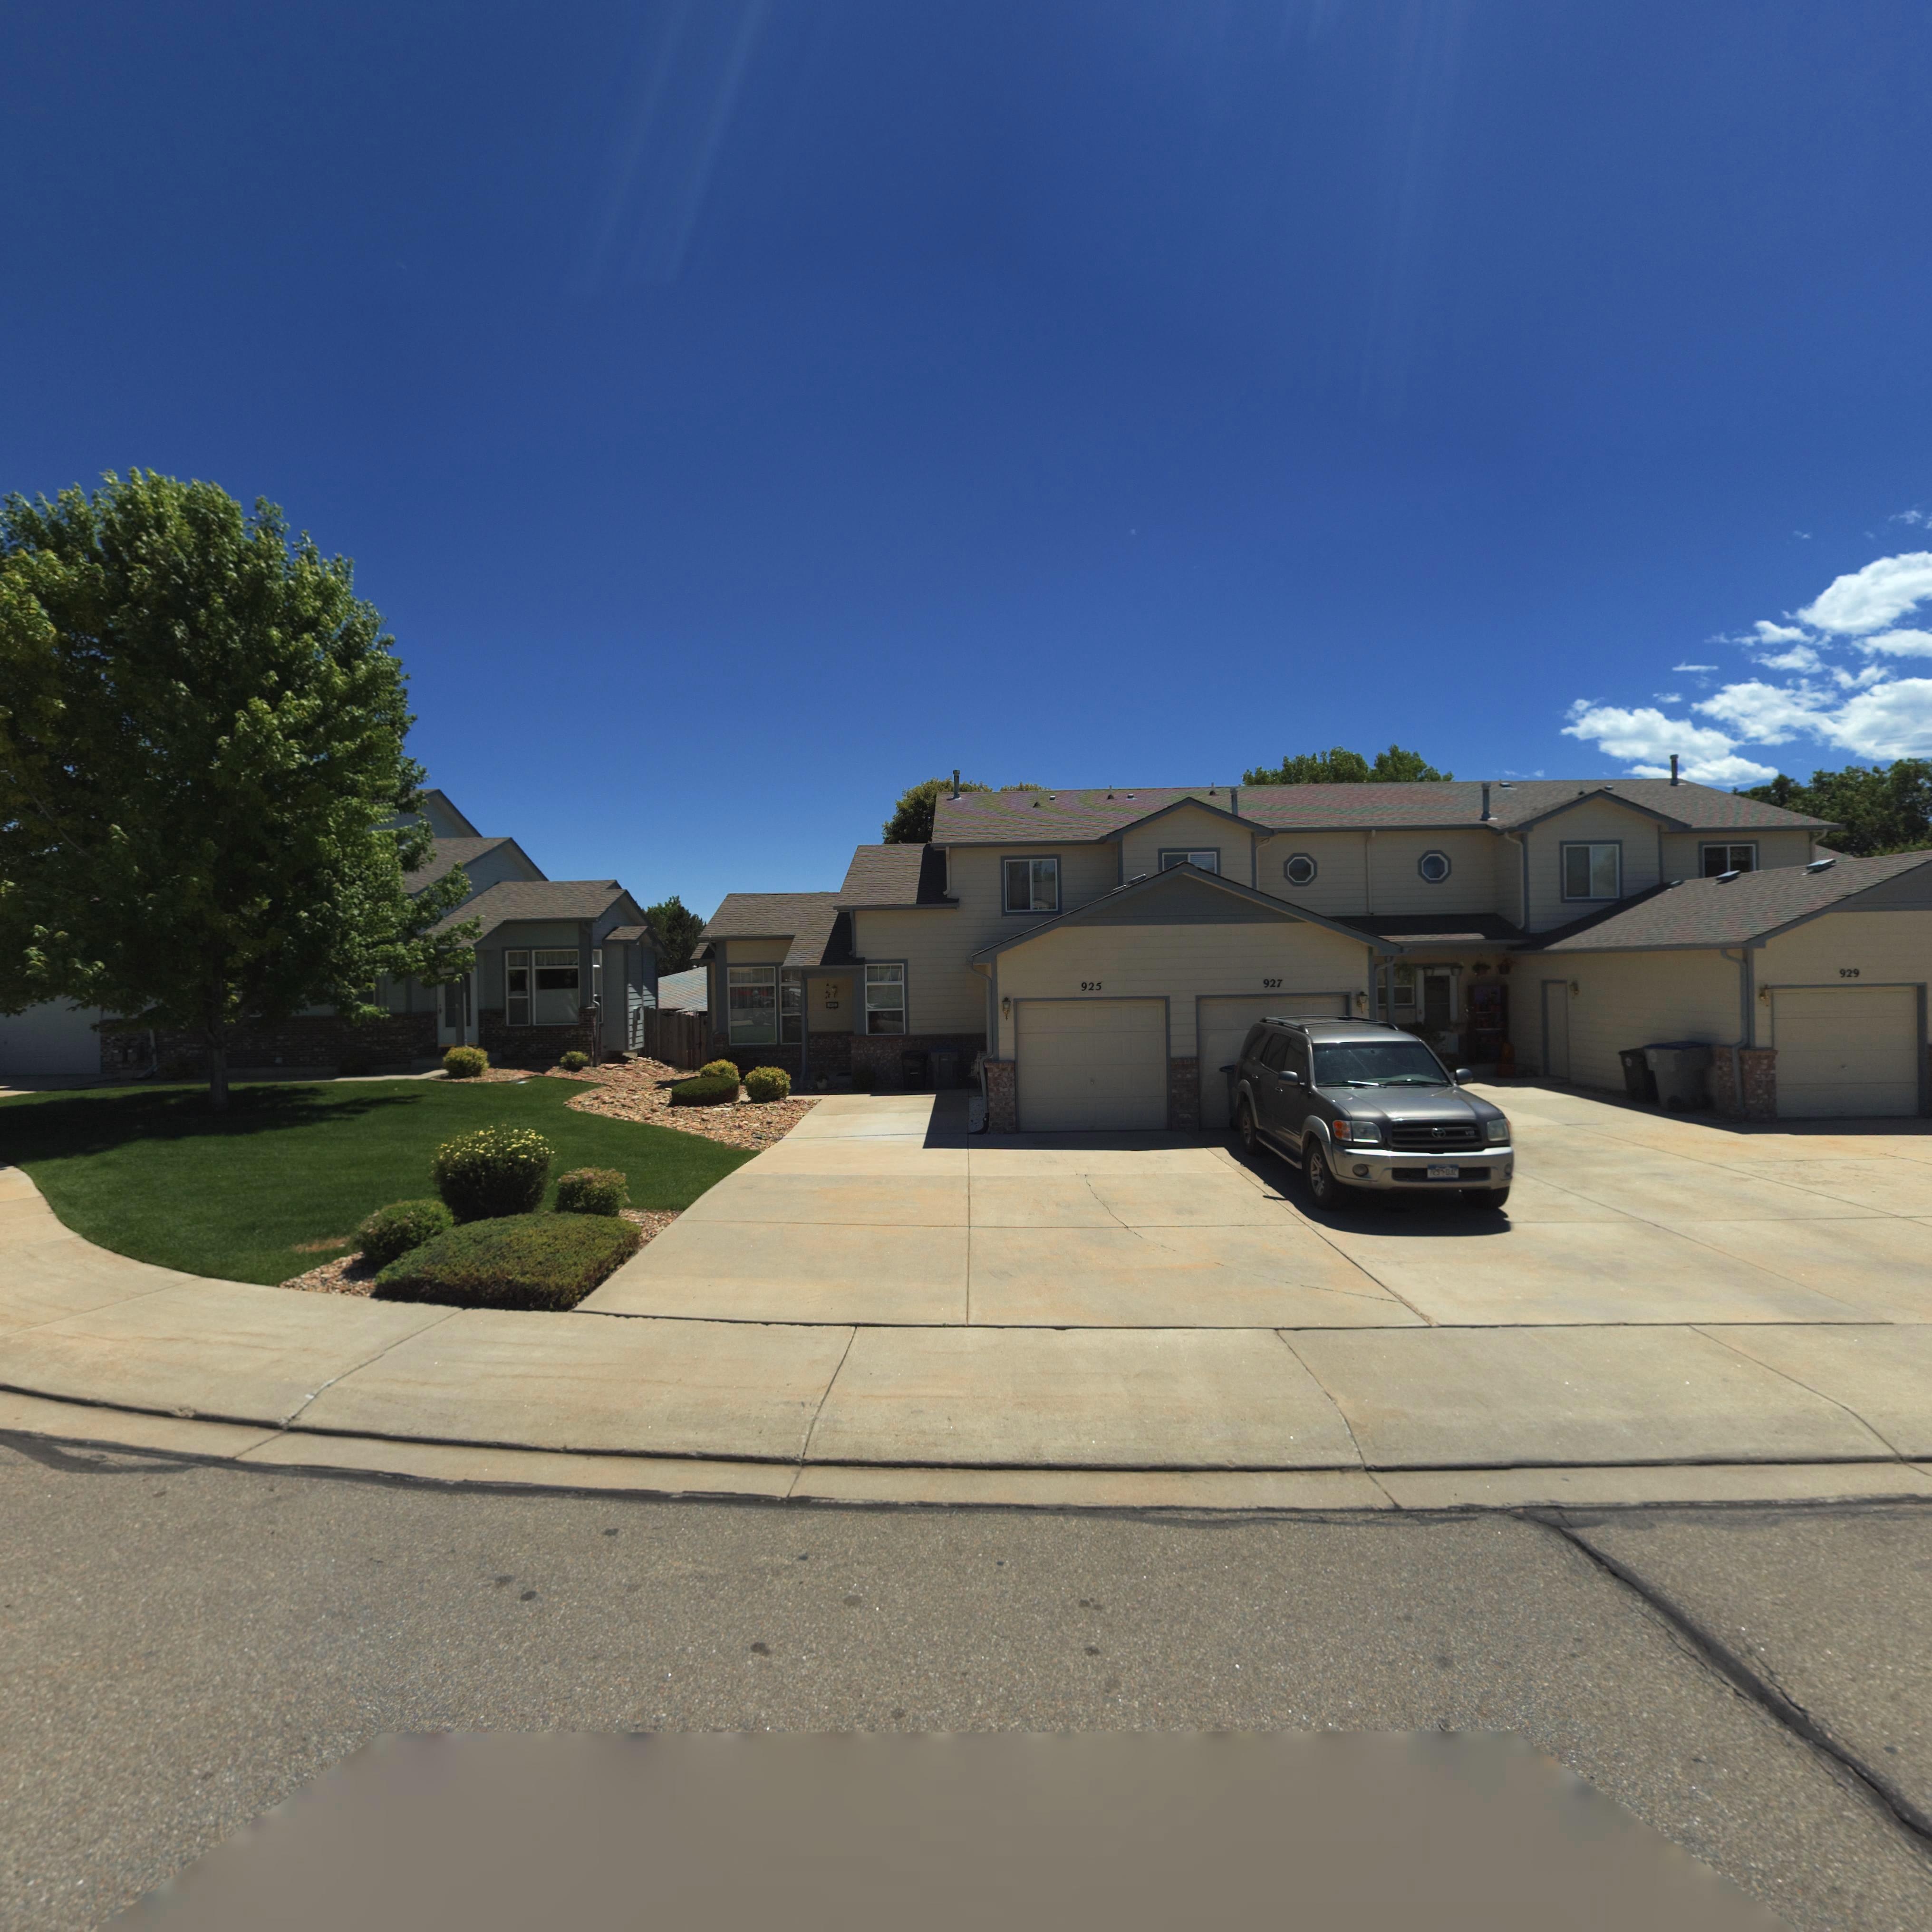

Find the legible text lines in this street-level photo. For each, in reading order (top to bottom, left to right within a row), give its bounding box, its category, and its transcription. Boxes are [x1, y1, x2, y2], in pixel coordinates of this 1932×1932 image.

[1838, 967, 1860, 978] StreetNumber: 929
[1081, 981, 1101, 991] StreetNumber: 925
[1263, 978, 1283, 988] StreetNumber: 927